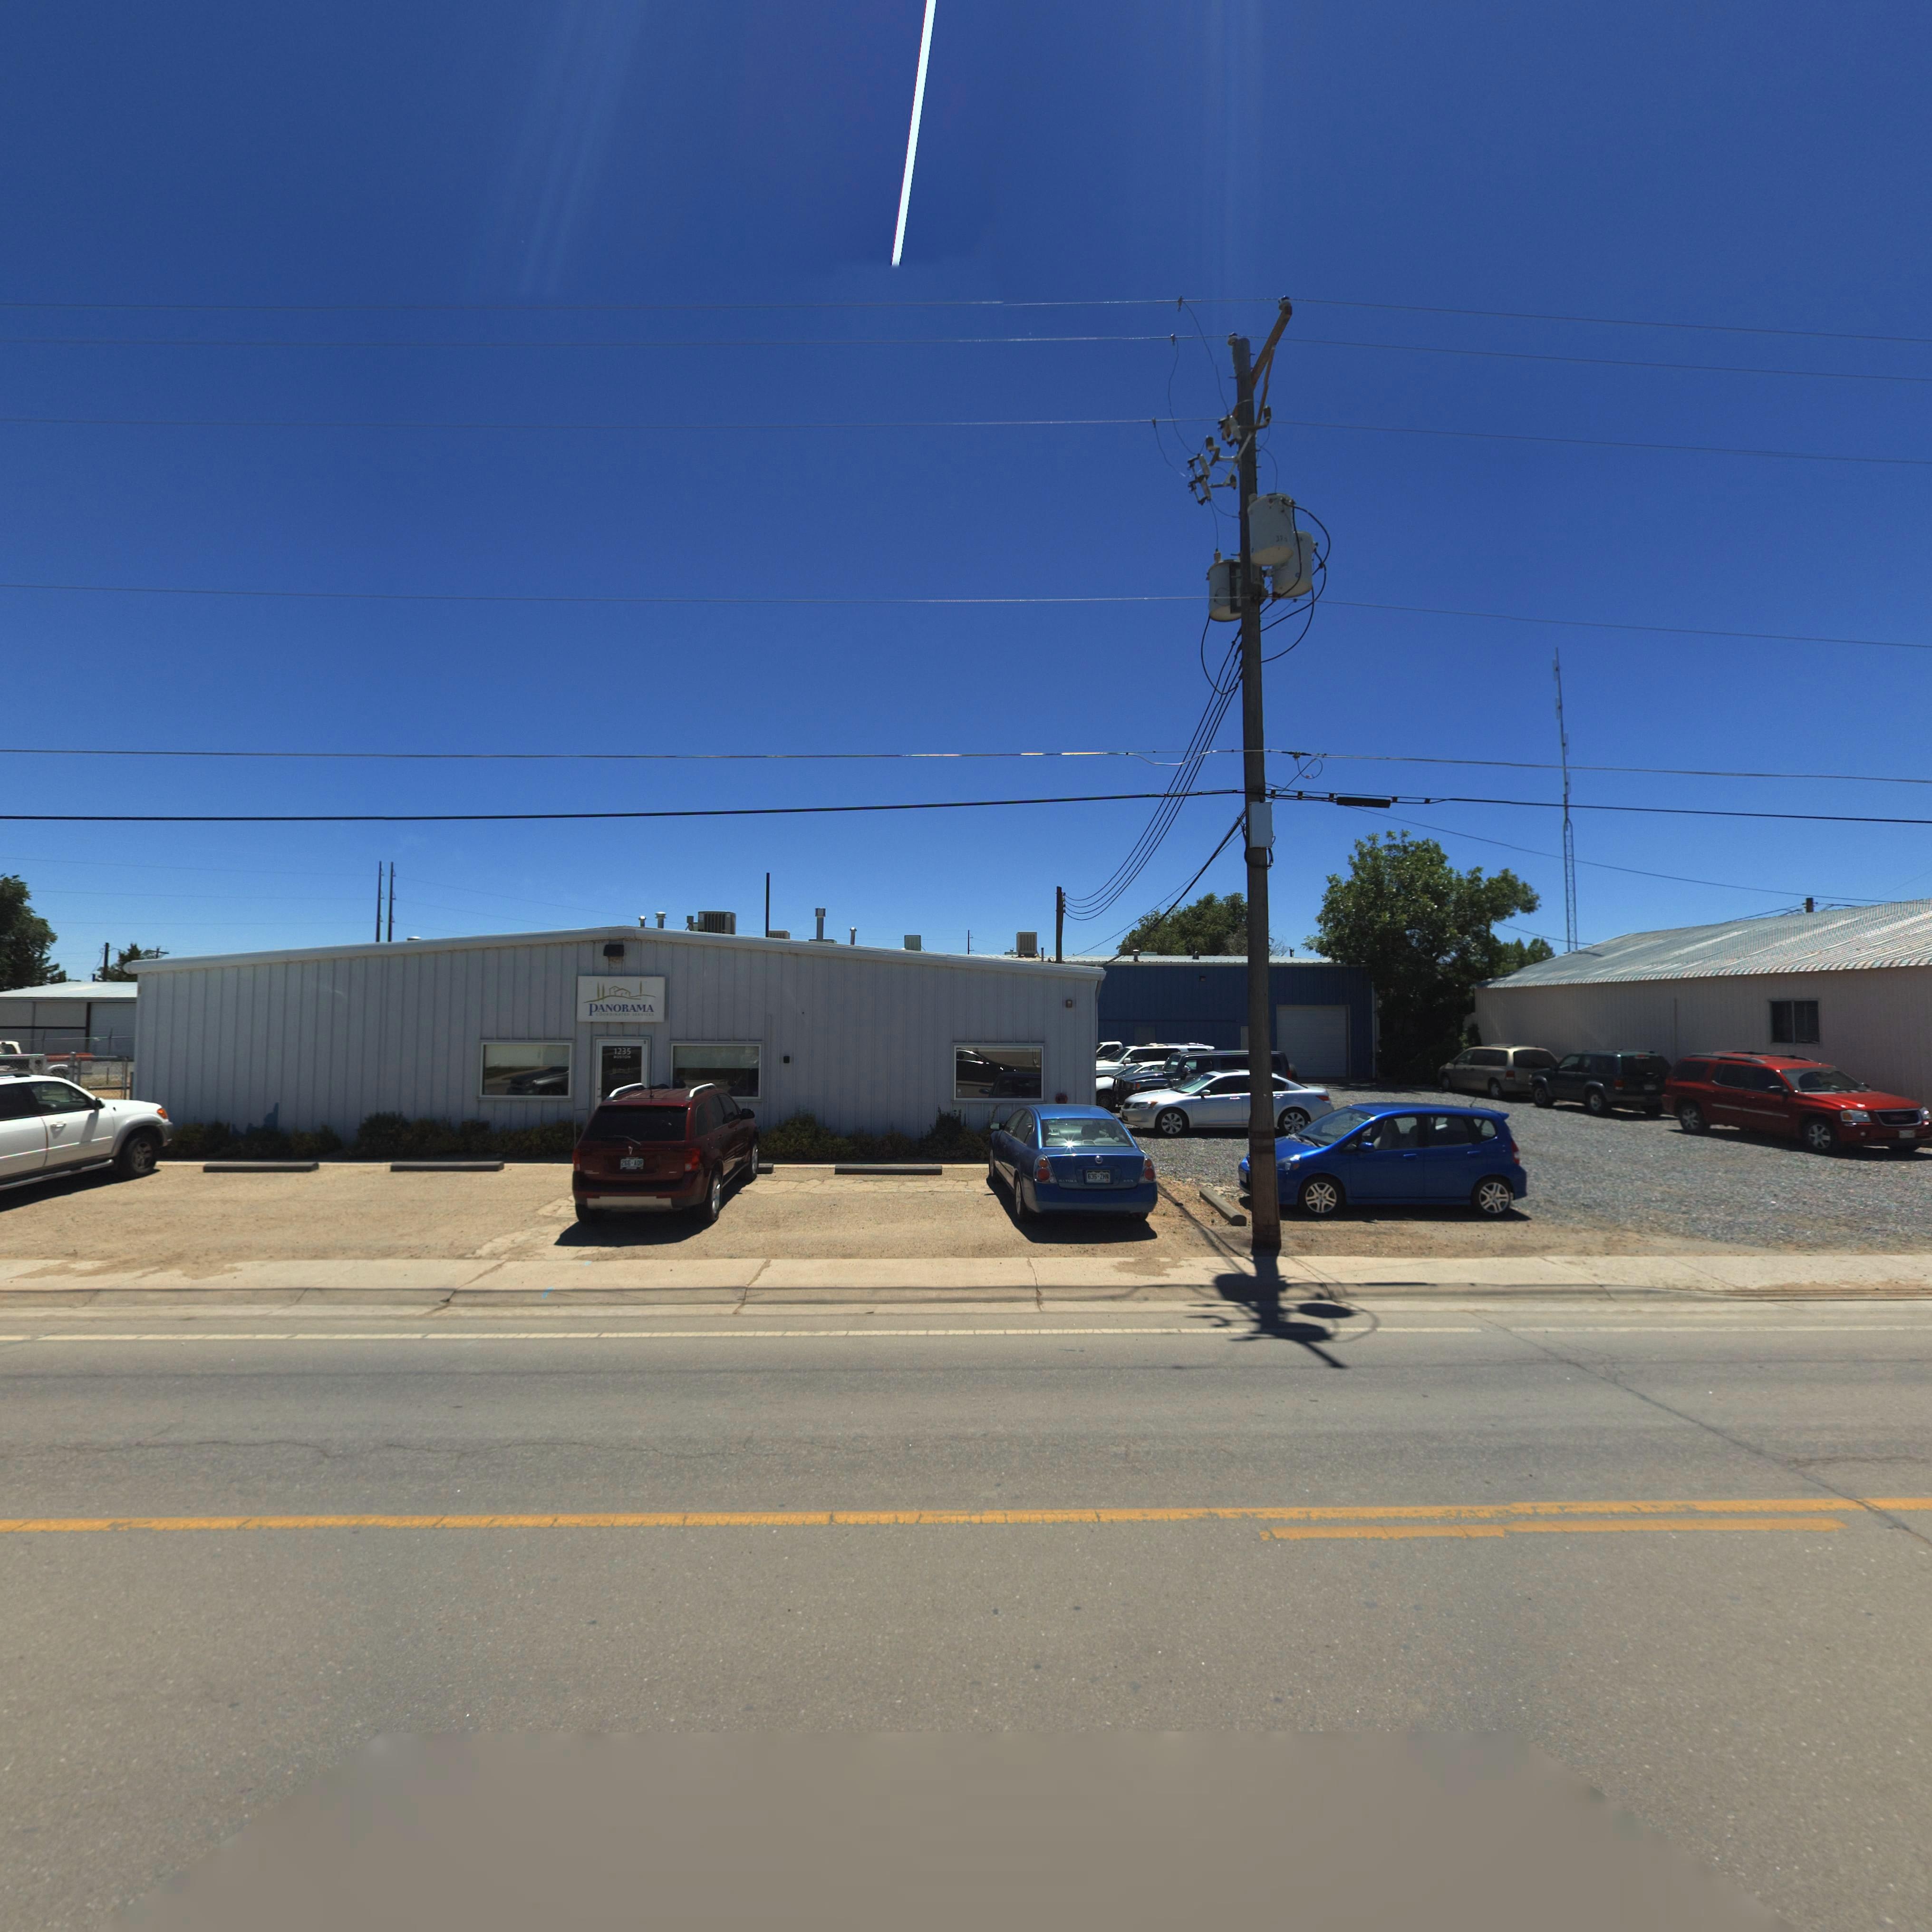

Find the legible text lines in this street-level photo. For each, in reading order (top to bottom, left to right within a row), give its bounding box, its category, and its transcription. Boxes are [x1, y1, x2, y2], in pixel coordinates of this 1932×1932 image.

[588, 1003, 655, 1016] BusinessName: PANORAMA
[596, 1012, 655, 1016] BusinessName: COORDINATED SERVICES
[614, 1047, 631, 1054] StreetNumber: 1235
[613, 1055, 631, 1058] StreetName: BOSTON
[609, 1073, 634, 1080] BusinessName: P******A